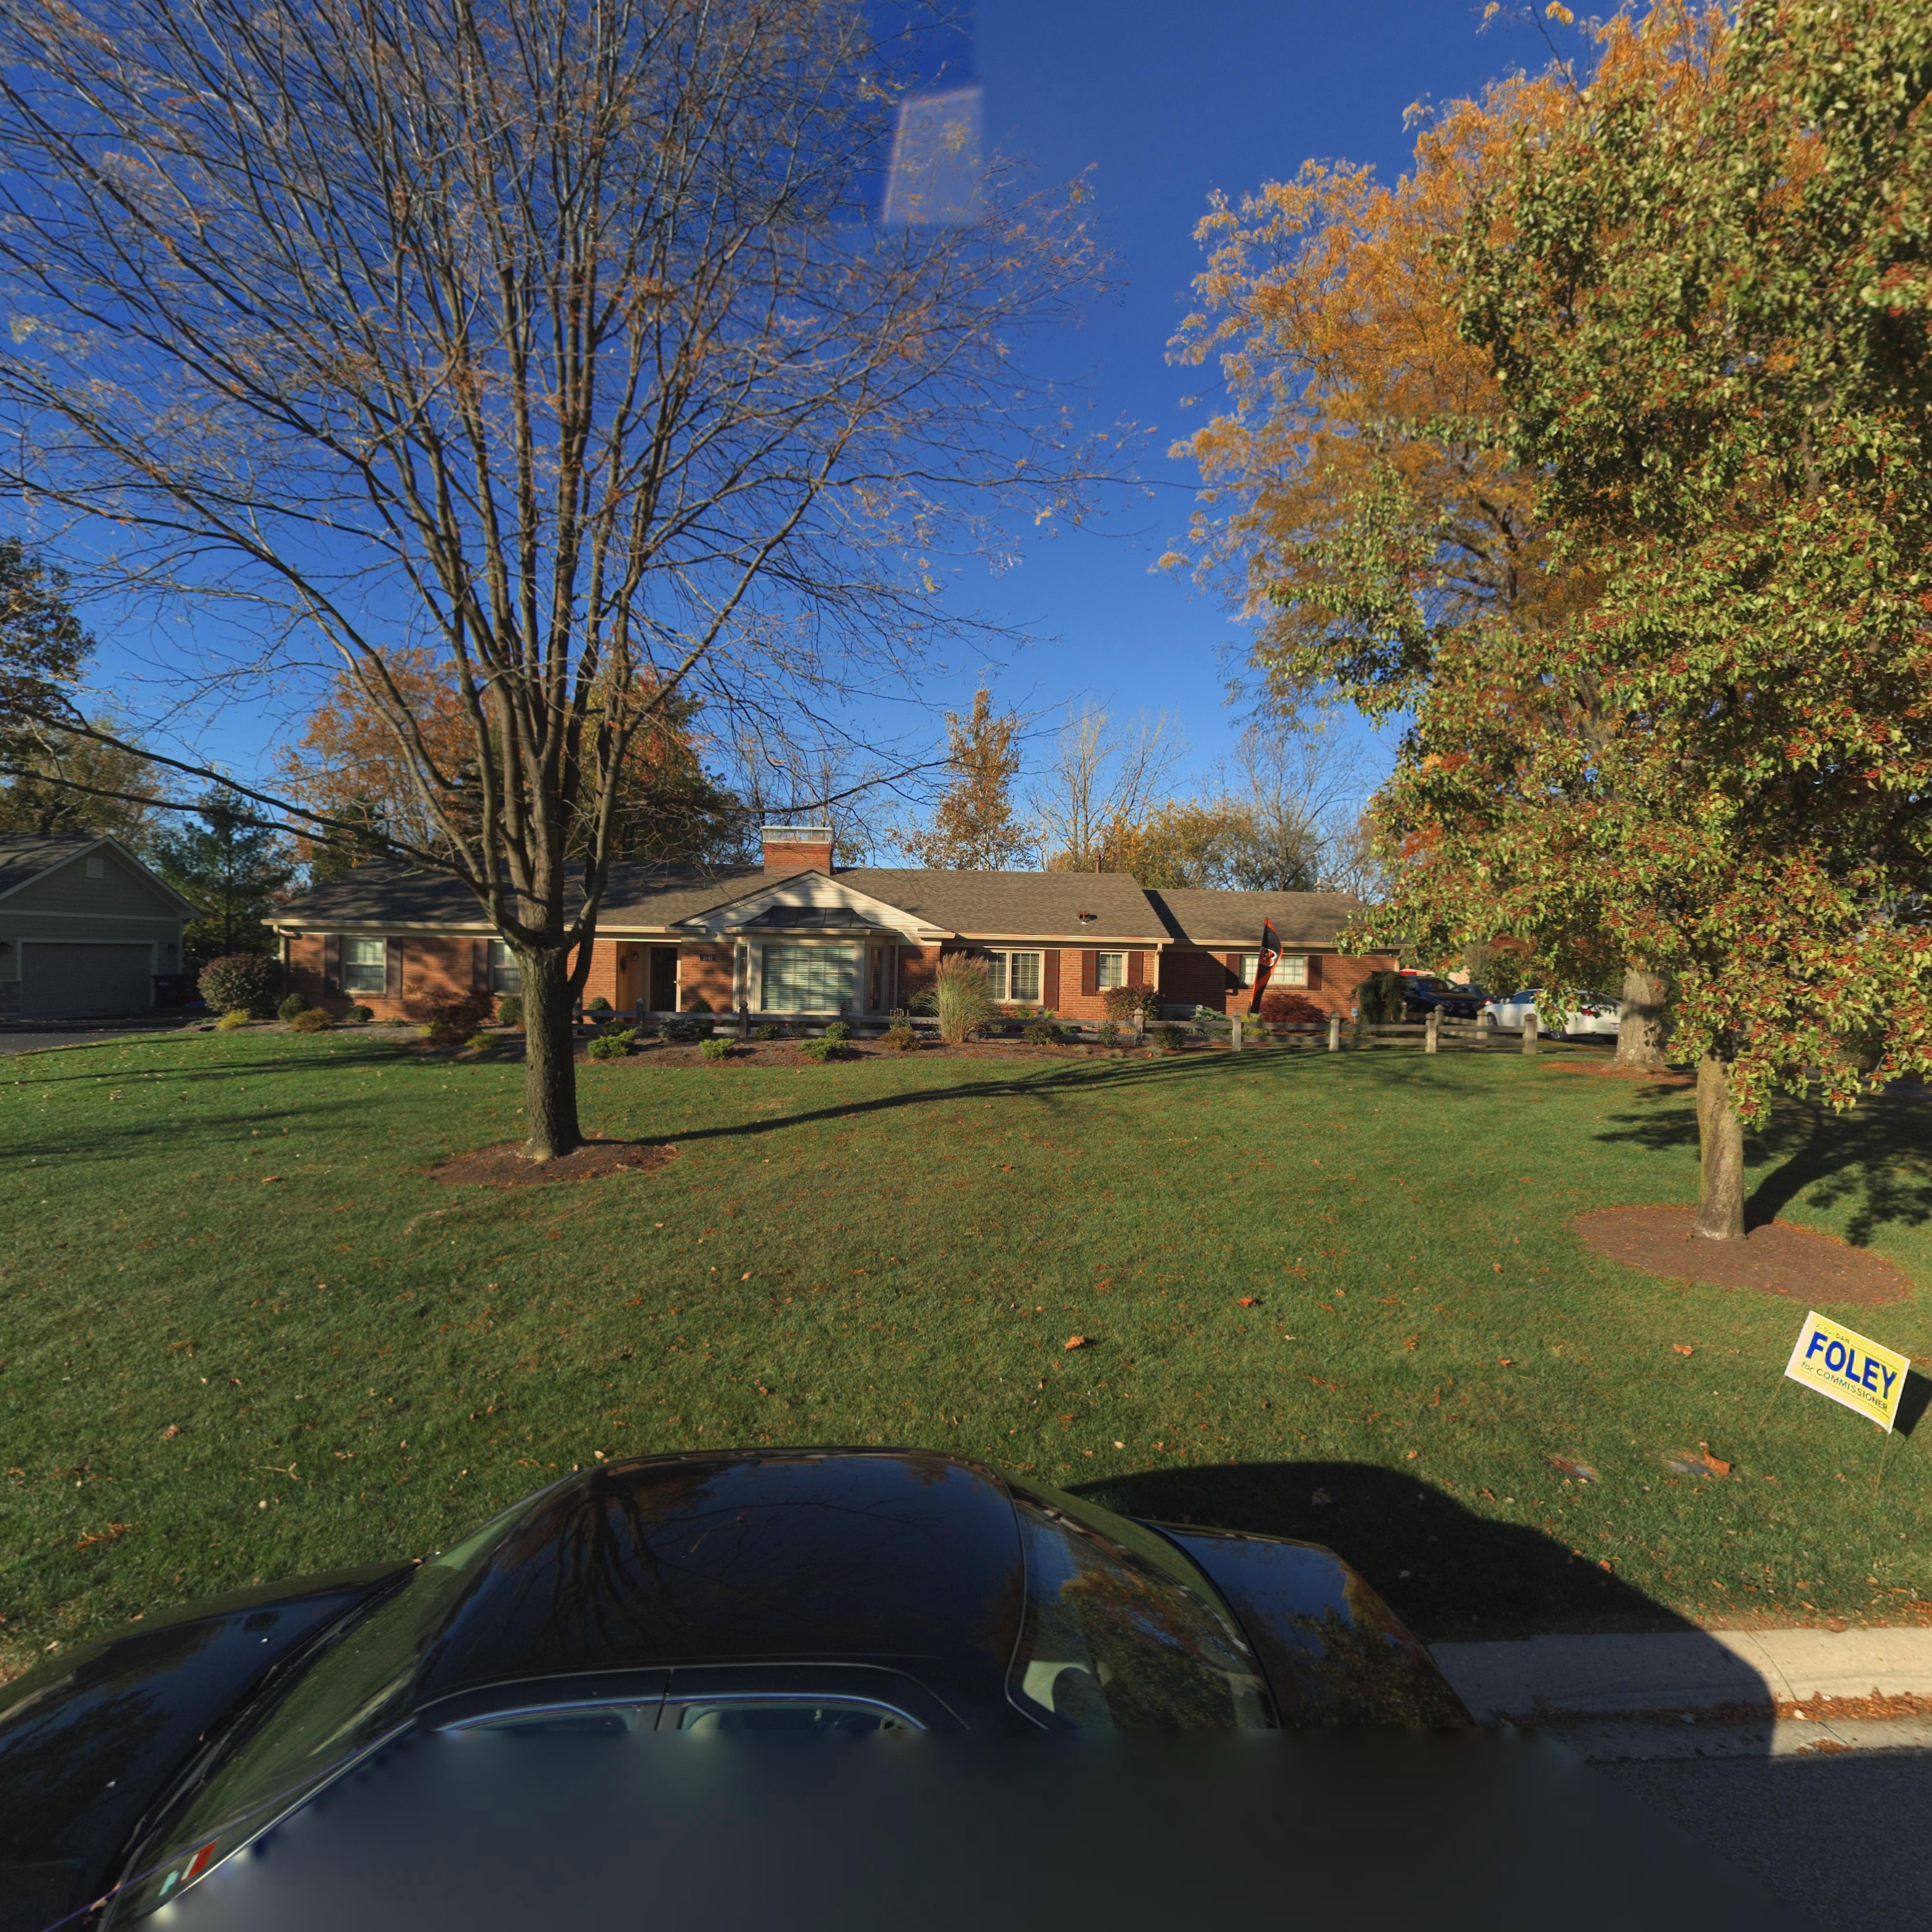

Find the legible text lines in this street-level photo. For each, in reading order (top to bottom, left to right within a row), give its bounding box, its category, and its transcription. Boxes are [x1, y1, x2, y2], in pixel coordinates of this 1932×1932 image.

[702, 955, 714, 961] StreetNumber: 1041
[1835, 1332, 1851, 1345] None: DAN
[1799, 1359, 1889, 1414] None: for COMMISSIONER
[1804, 1329, 1899, 1402] None: FOLEY